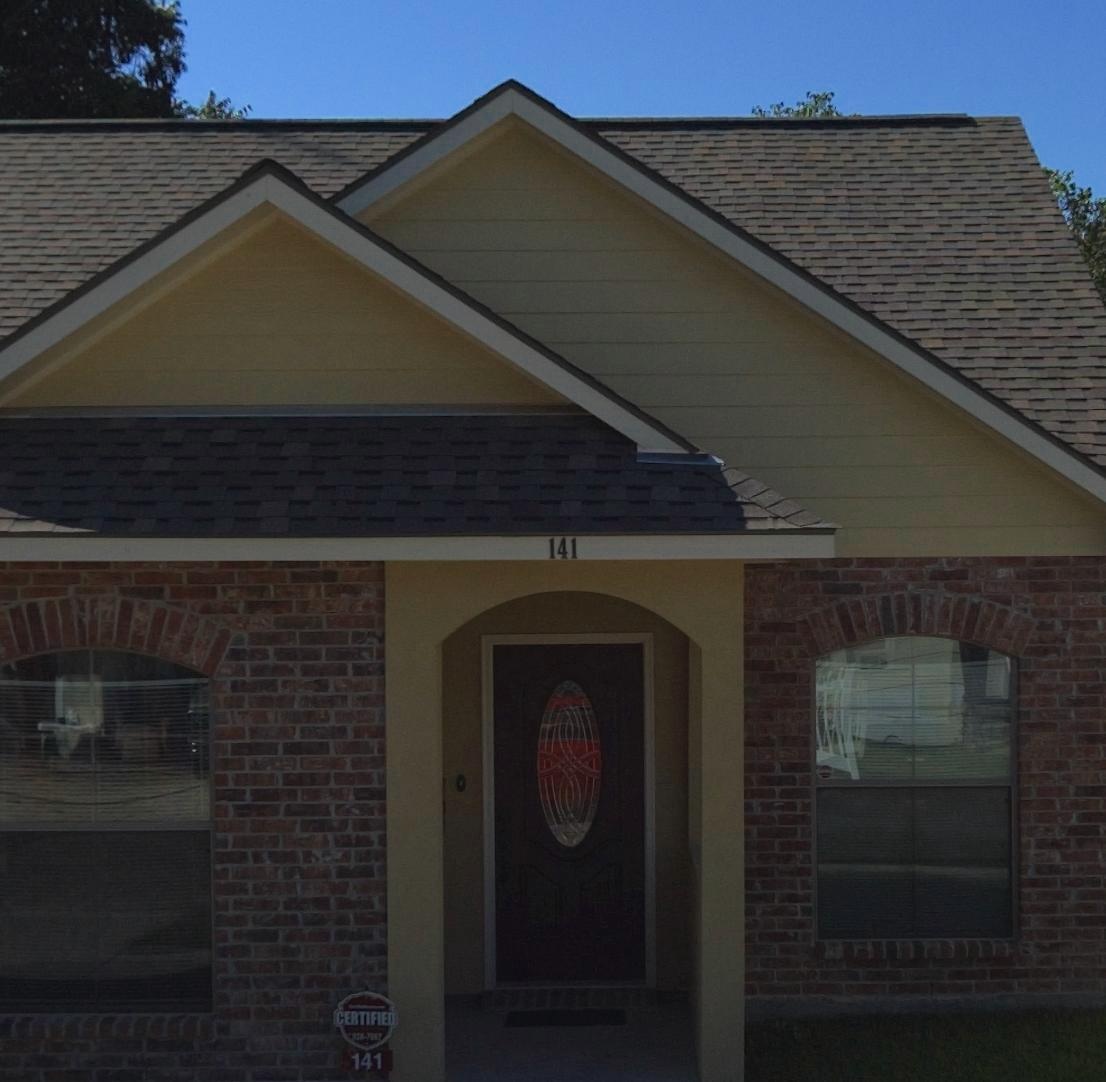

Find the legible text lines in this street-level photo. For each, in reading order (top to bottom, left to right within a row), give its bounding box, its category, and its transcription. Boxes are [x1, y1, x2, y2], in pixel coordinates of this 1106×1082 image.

[546, 535, 579, 561] StreetNumber: 141
[335, 1009, 397, 1028] None: CERTIFIED
[349, 1051, 384, 1072] StreetNumber: 141